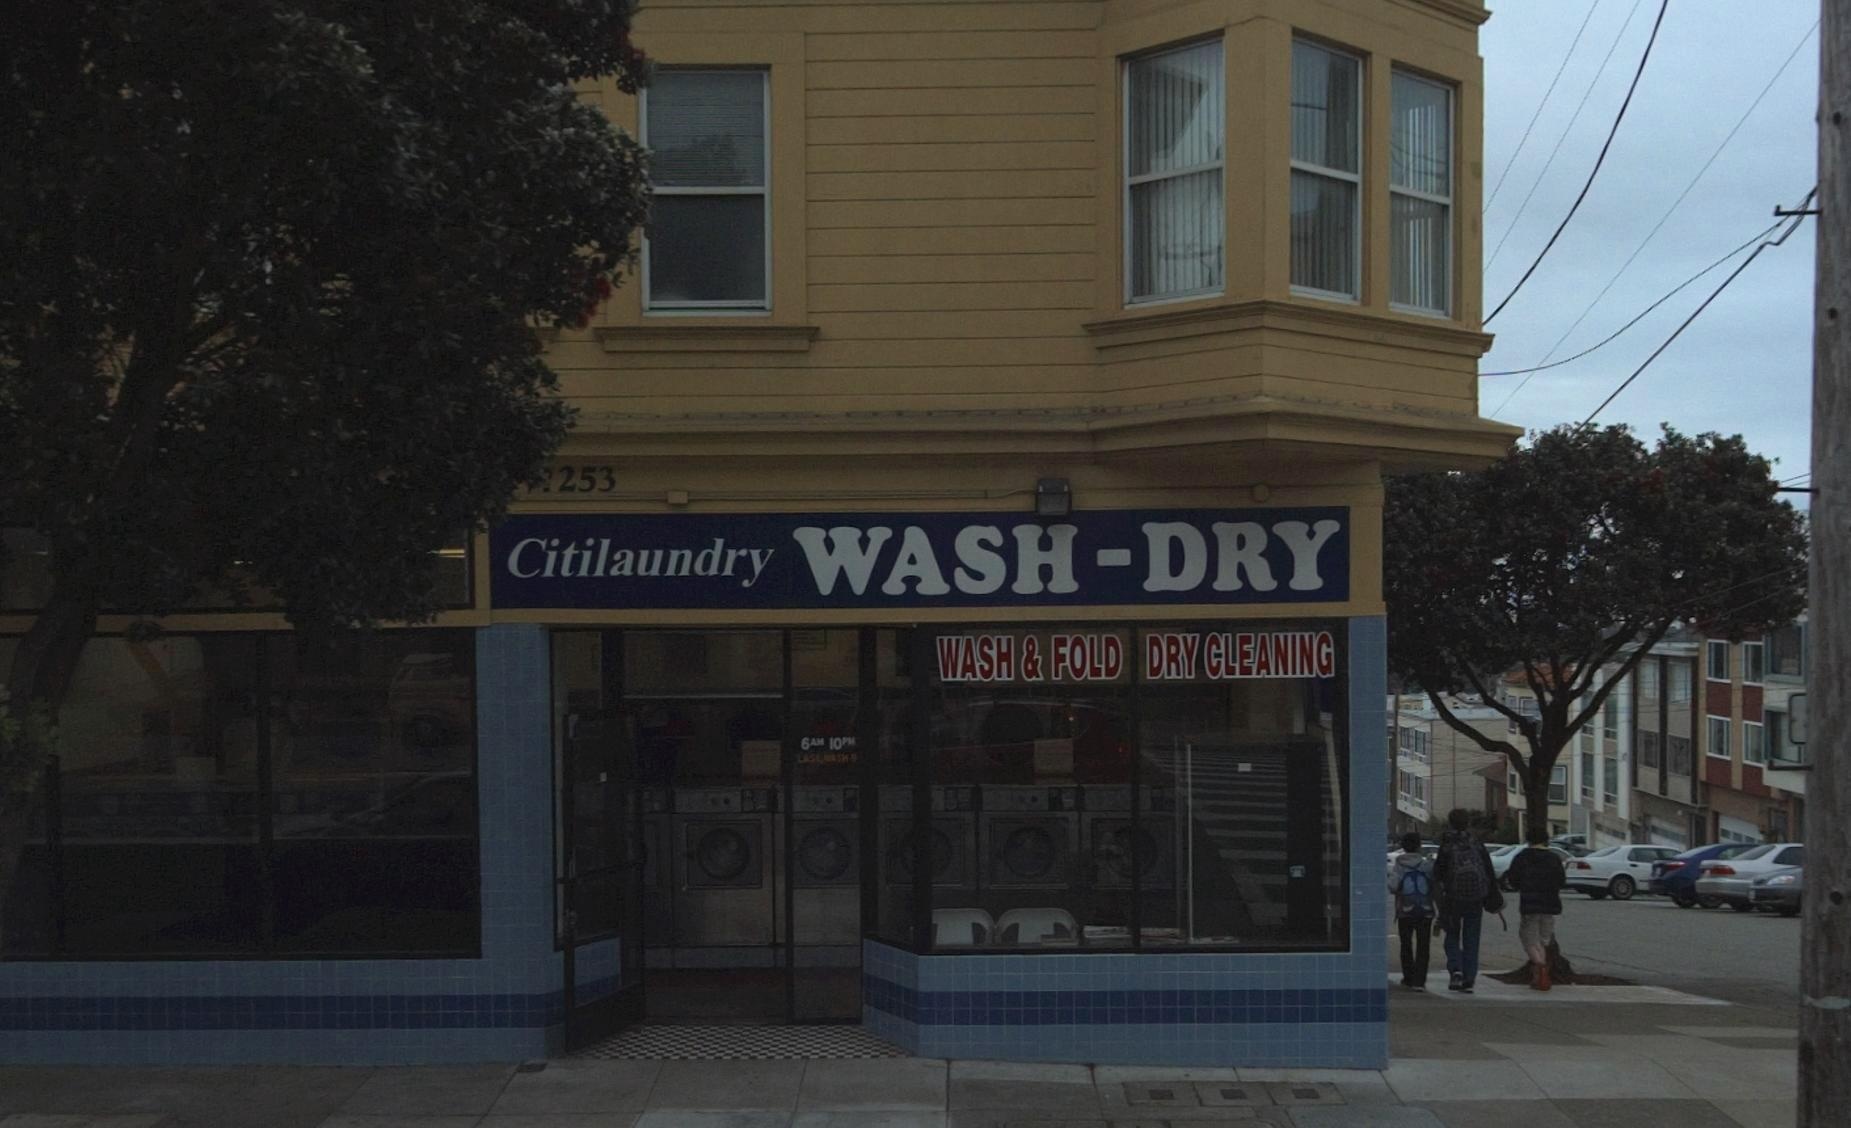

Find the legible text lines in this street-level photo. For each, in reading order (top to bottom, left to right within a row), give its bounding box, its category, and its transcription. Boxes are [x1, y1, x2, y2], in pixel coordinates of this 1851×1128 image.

[556, 463, 618, 495] StreetNumber: 253
[501, 534, 781, 591] BusinessName: Citilaundry
[786, 514, 1344, 600] None: WASH-DRY
[932, 627, 1338, 685] None: WASH & FOLD DRY CLEANING
[794, 750, 860, 767] None: LAS***ASH 9
[799, 734, 858, 753] None: 6AM 10PM